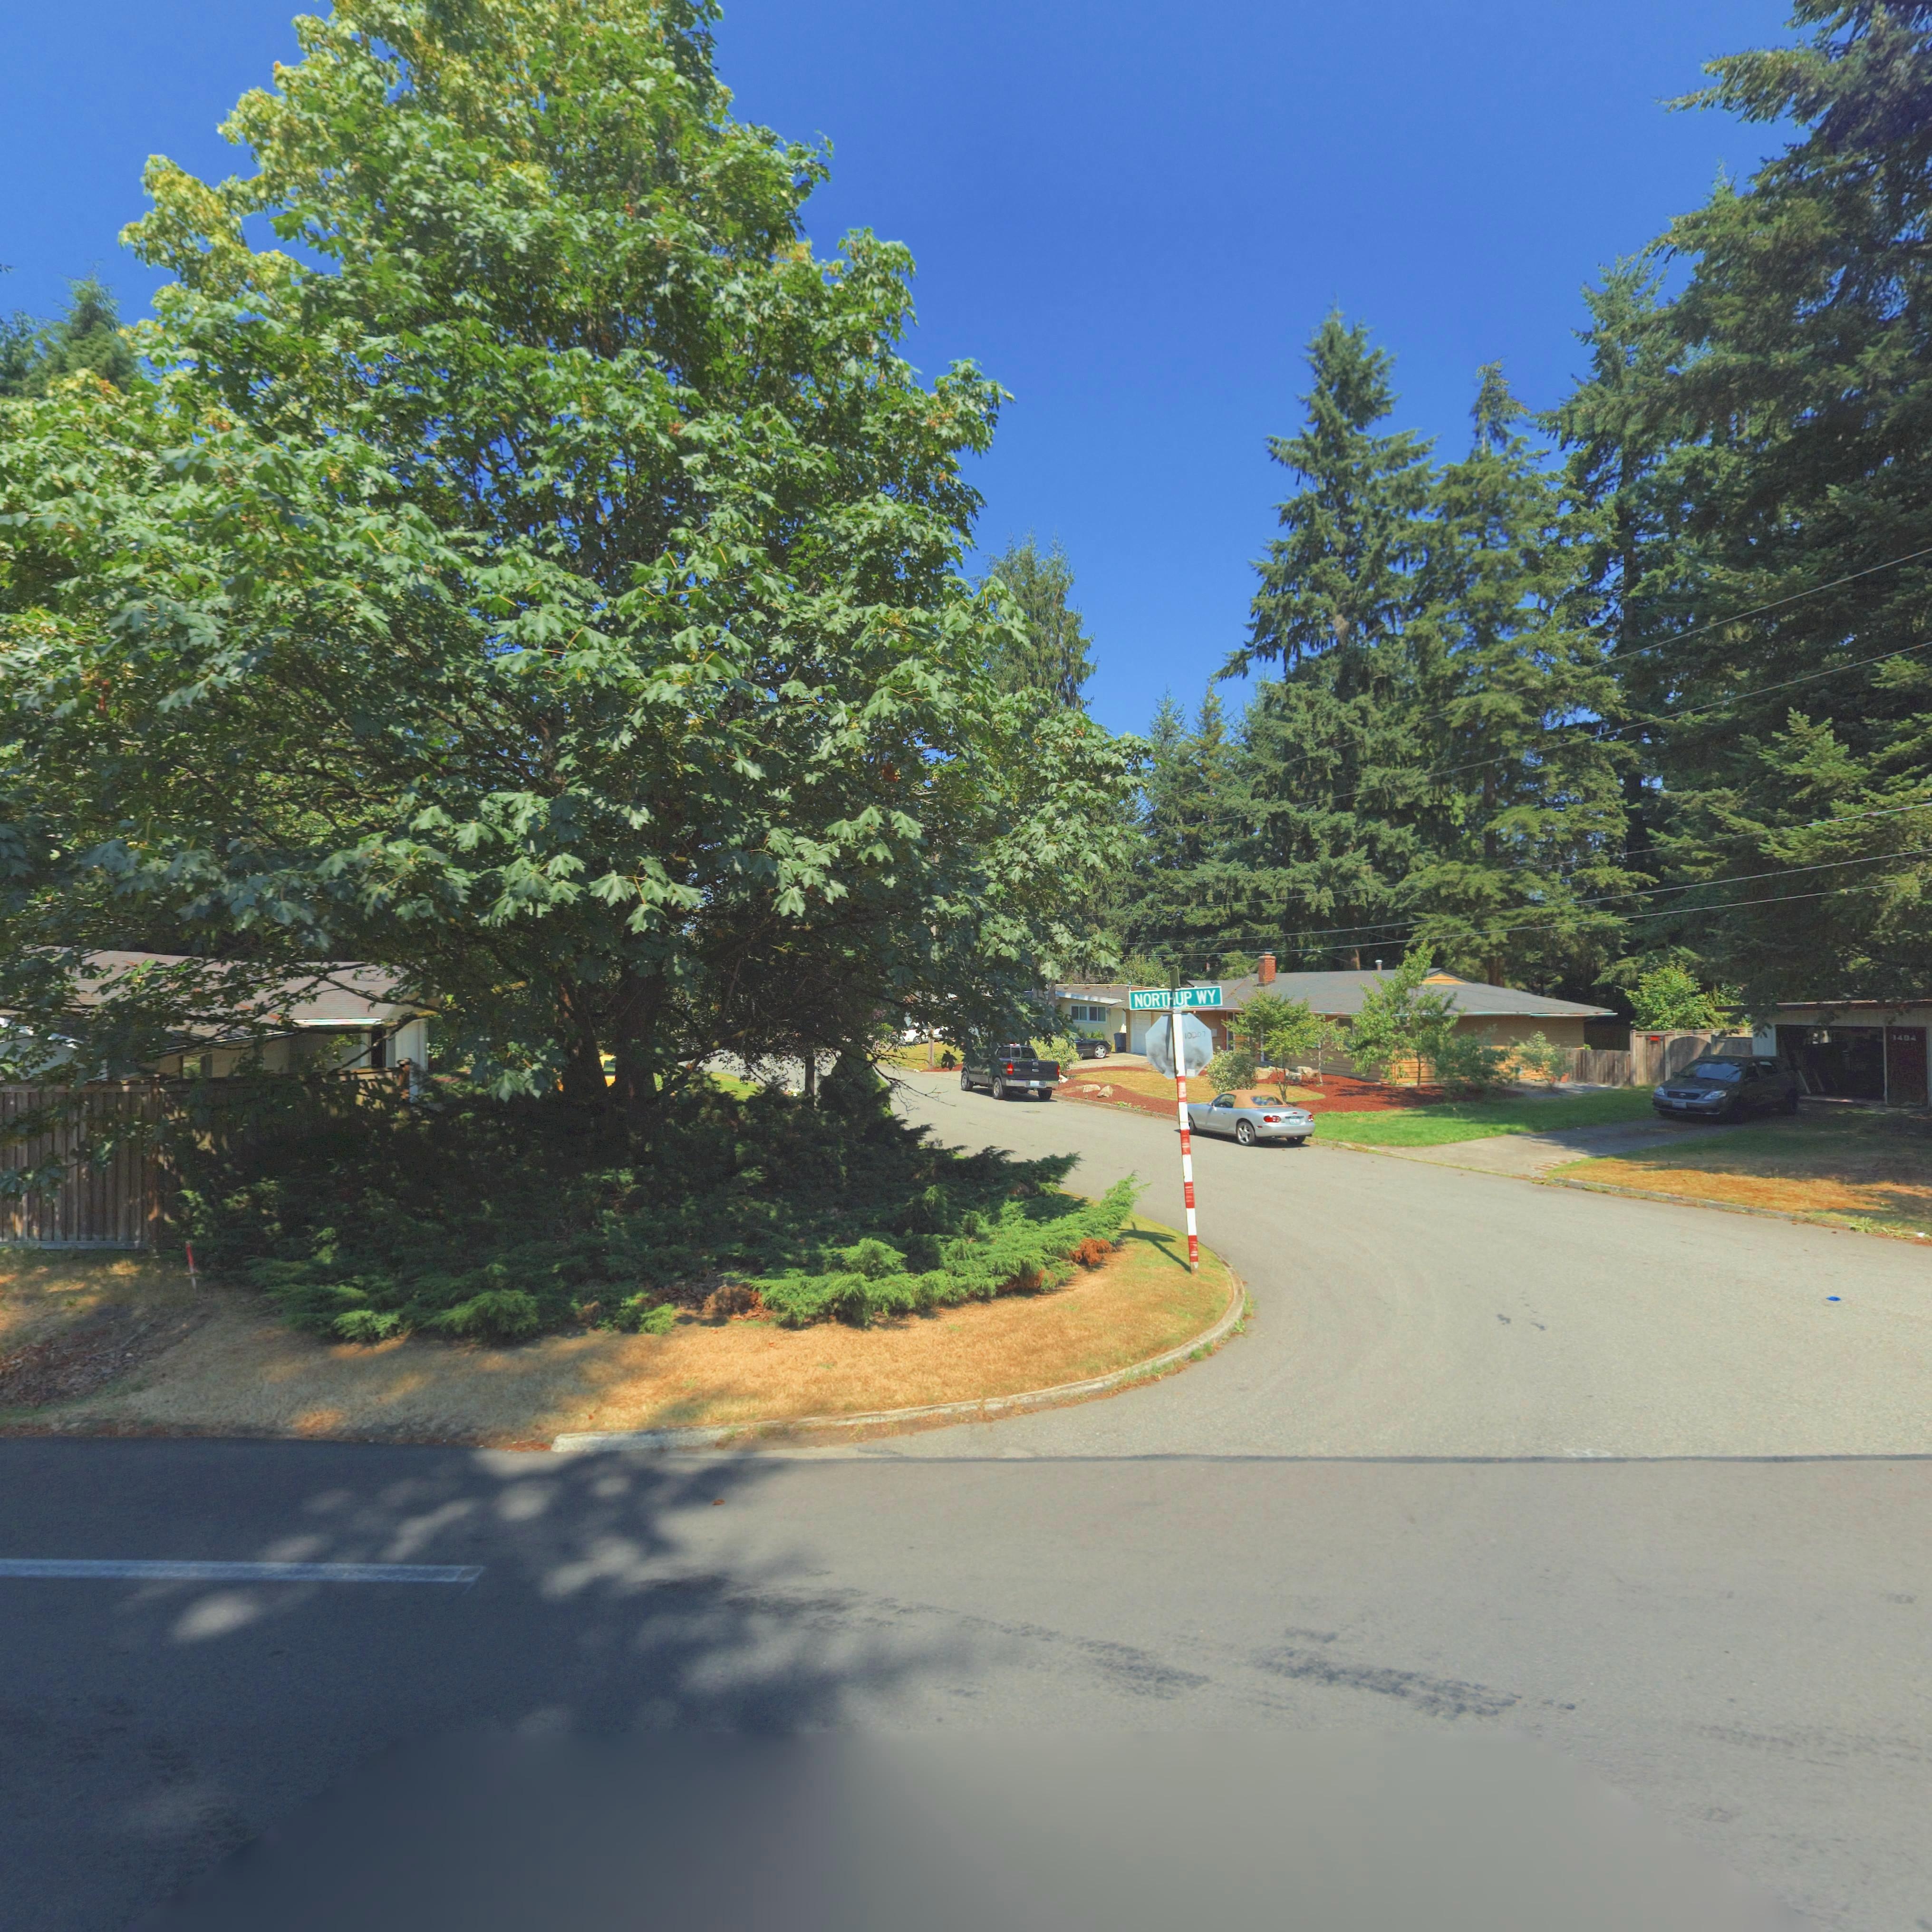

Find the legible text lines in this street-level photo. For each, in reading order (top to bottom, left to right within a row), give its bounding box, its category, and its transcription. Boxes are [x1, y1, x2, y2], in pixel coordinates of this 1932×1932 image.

[1132, 986, 1217, 1009] StreetName: NORTHUP WY
[1892, 1034, 1917, 1042] StreetNumber: 1404